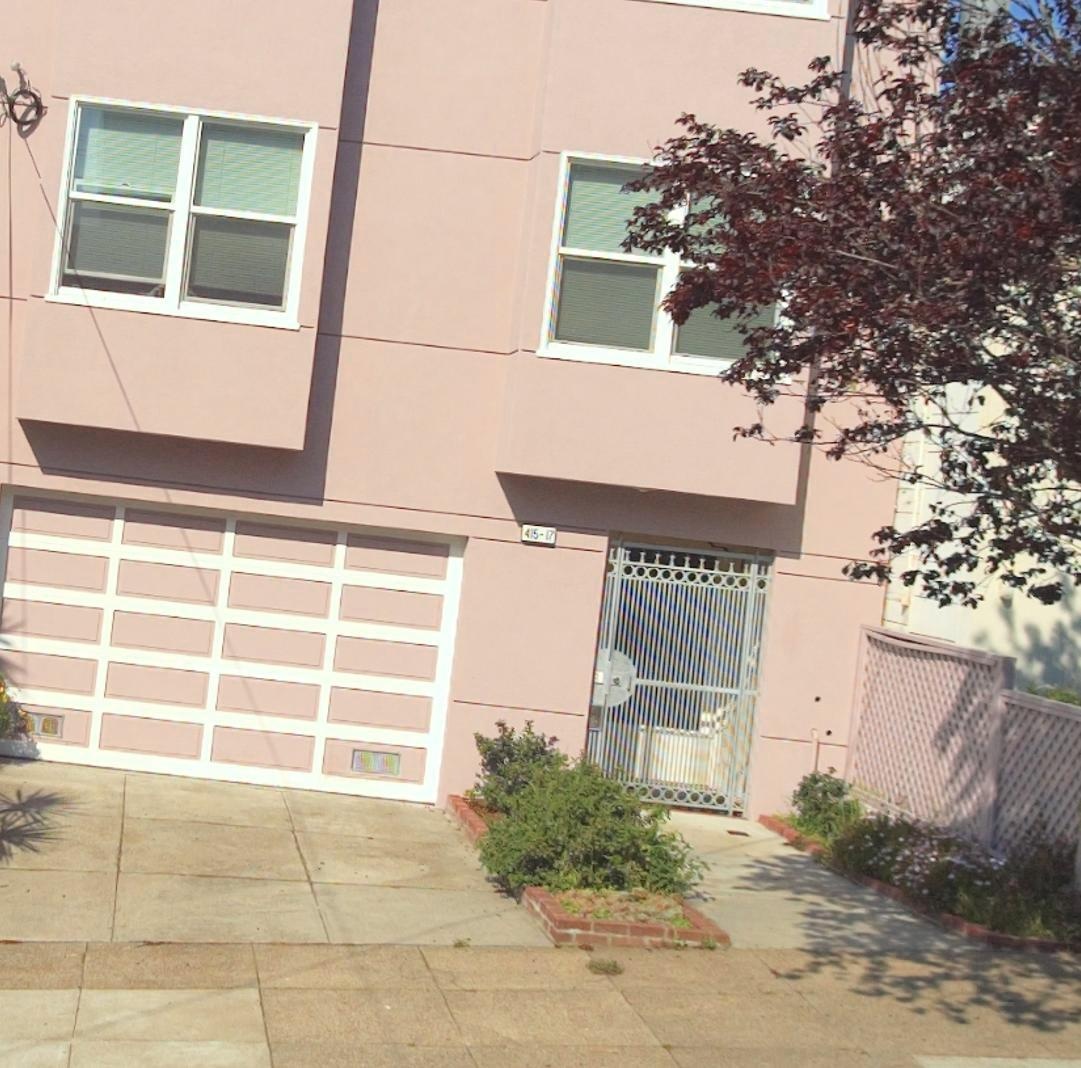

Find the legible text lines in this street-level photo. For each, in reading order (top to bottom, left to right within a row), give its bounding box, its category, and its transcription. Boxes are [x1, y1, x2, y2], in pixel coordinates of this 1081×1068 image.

[523, 526, 555, 543] StreetNumber: 415-17